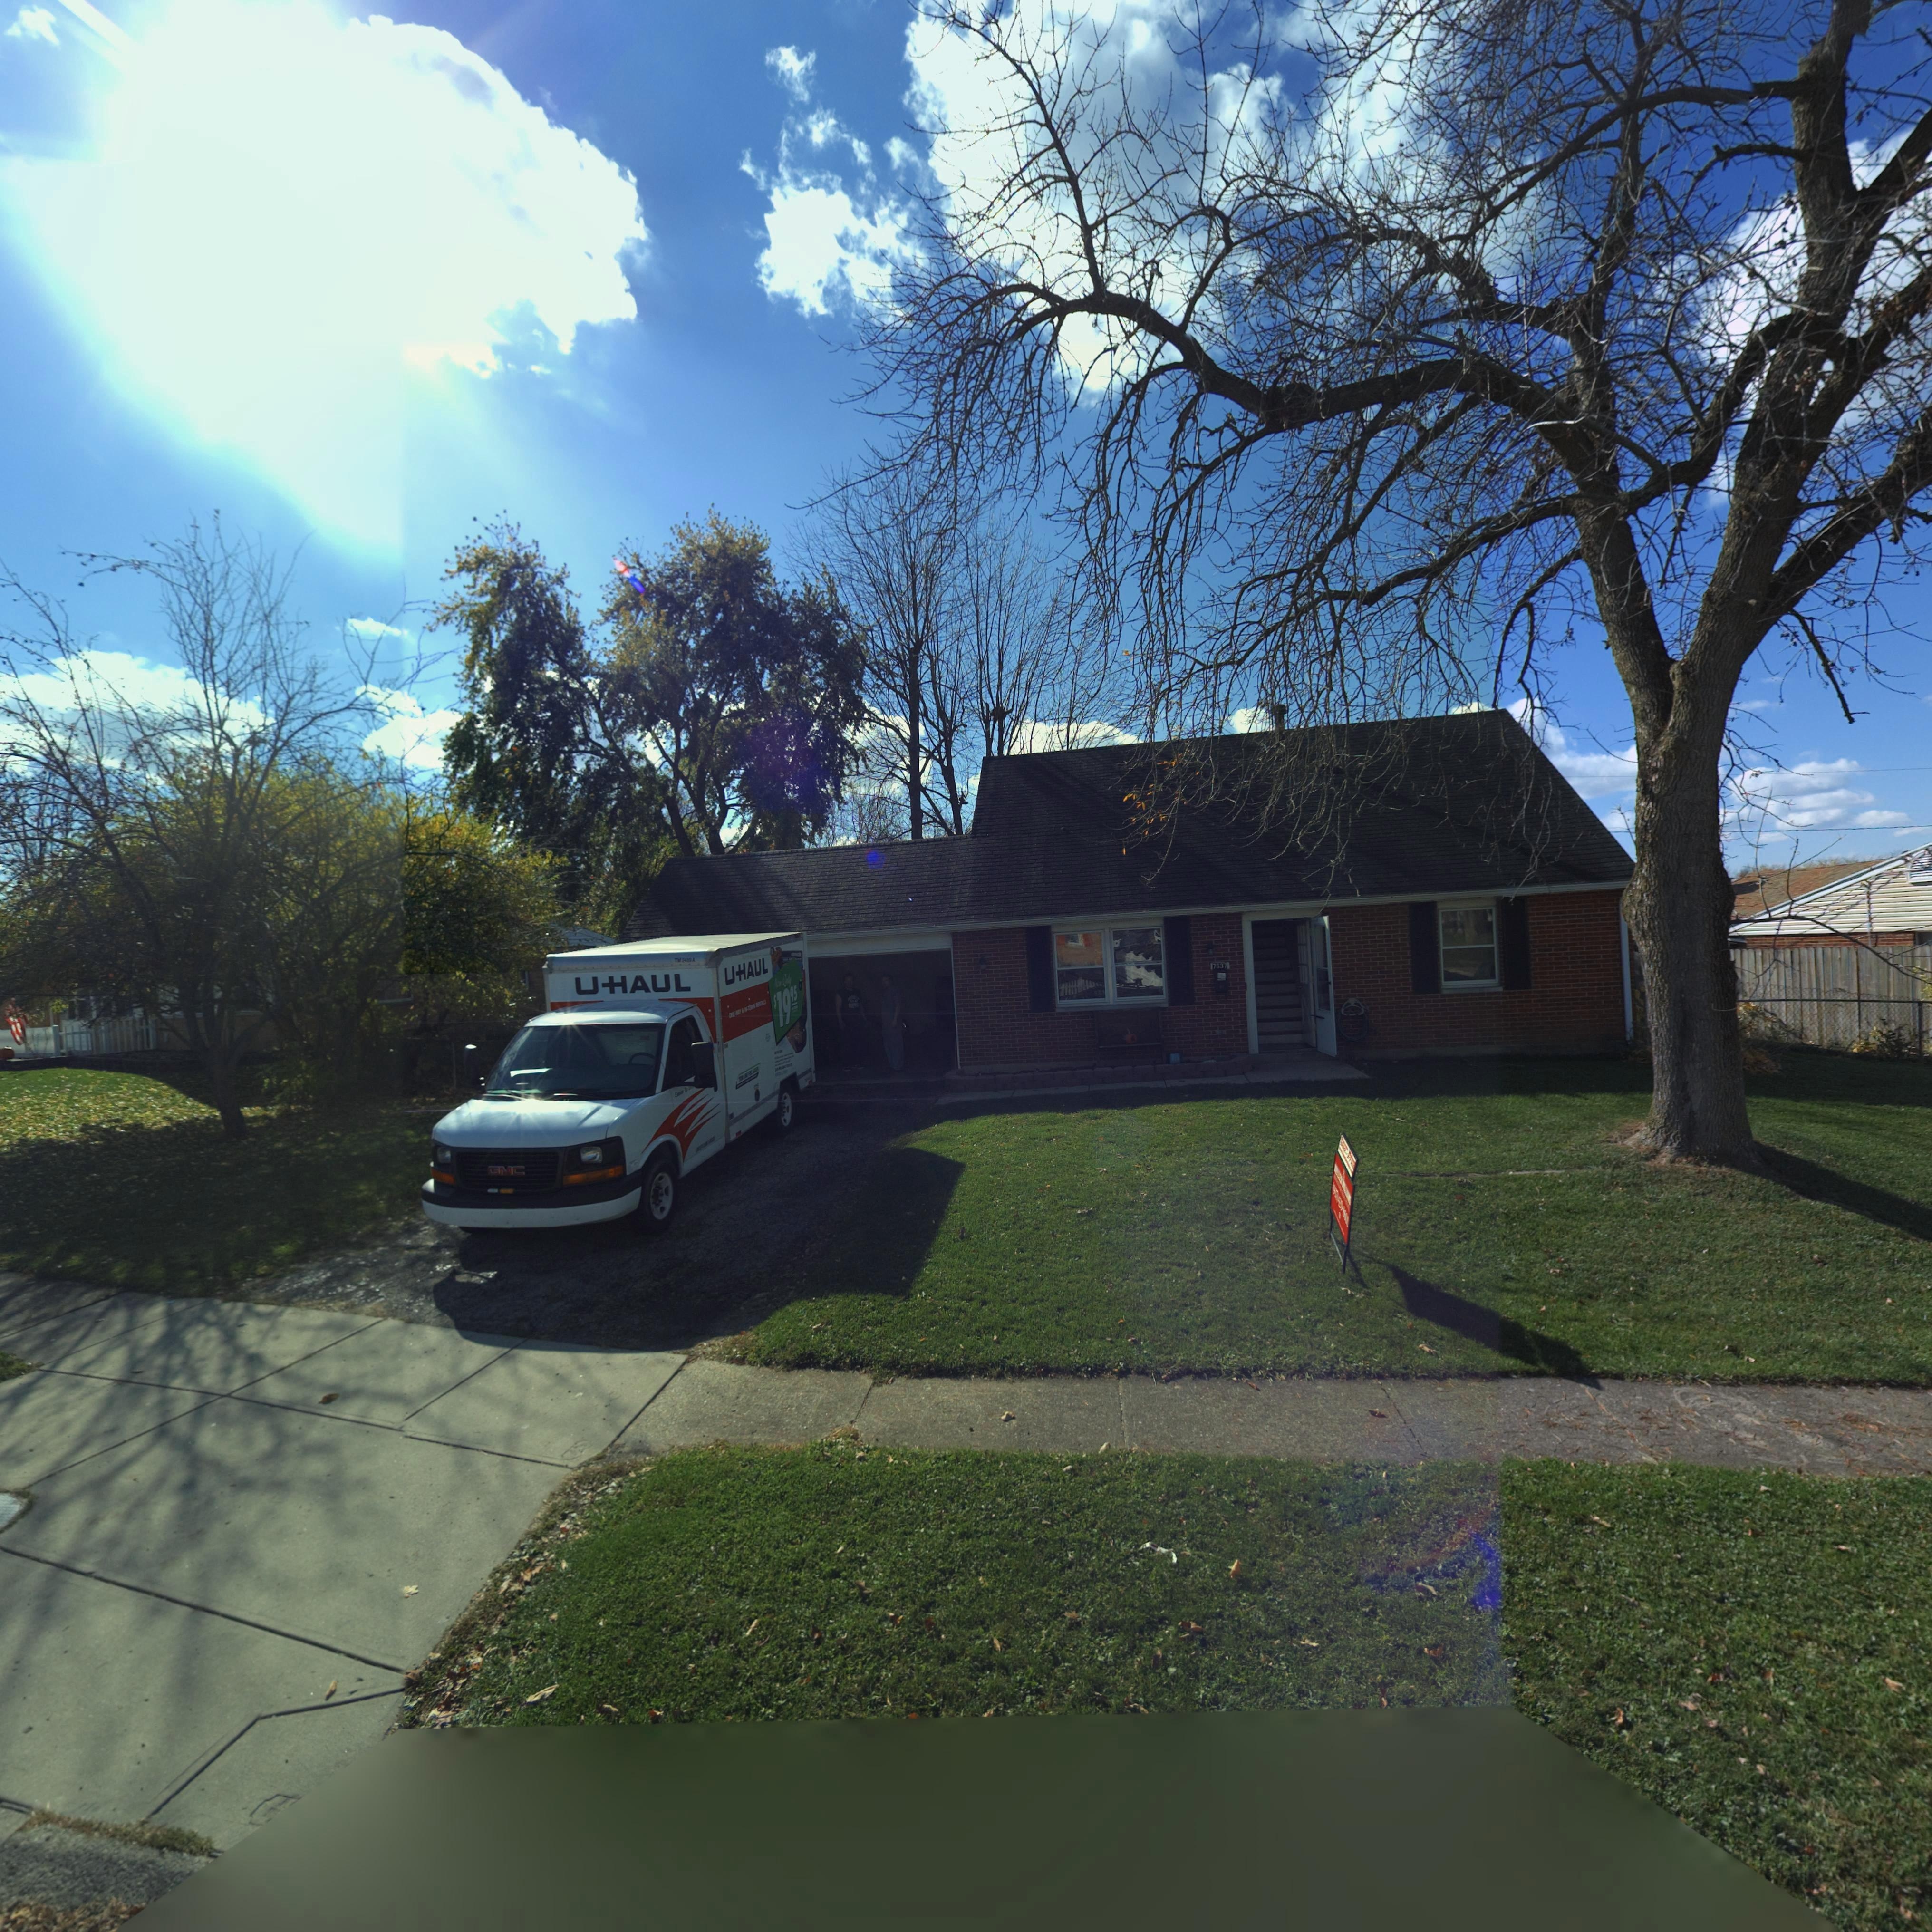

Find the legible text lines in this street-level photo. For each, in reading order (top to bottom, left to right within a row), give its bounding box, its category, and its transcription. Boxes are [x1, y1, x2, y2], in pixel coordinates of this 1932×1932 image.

[1212, 962, 1227, 969] StreetNumber: 7637